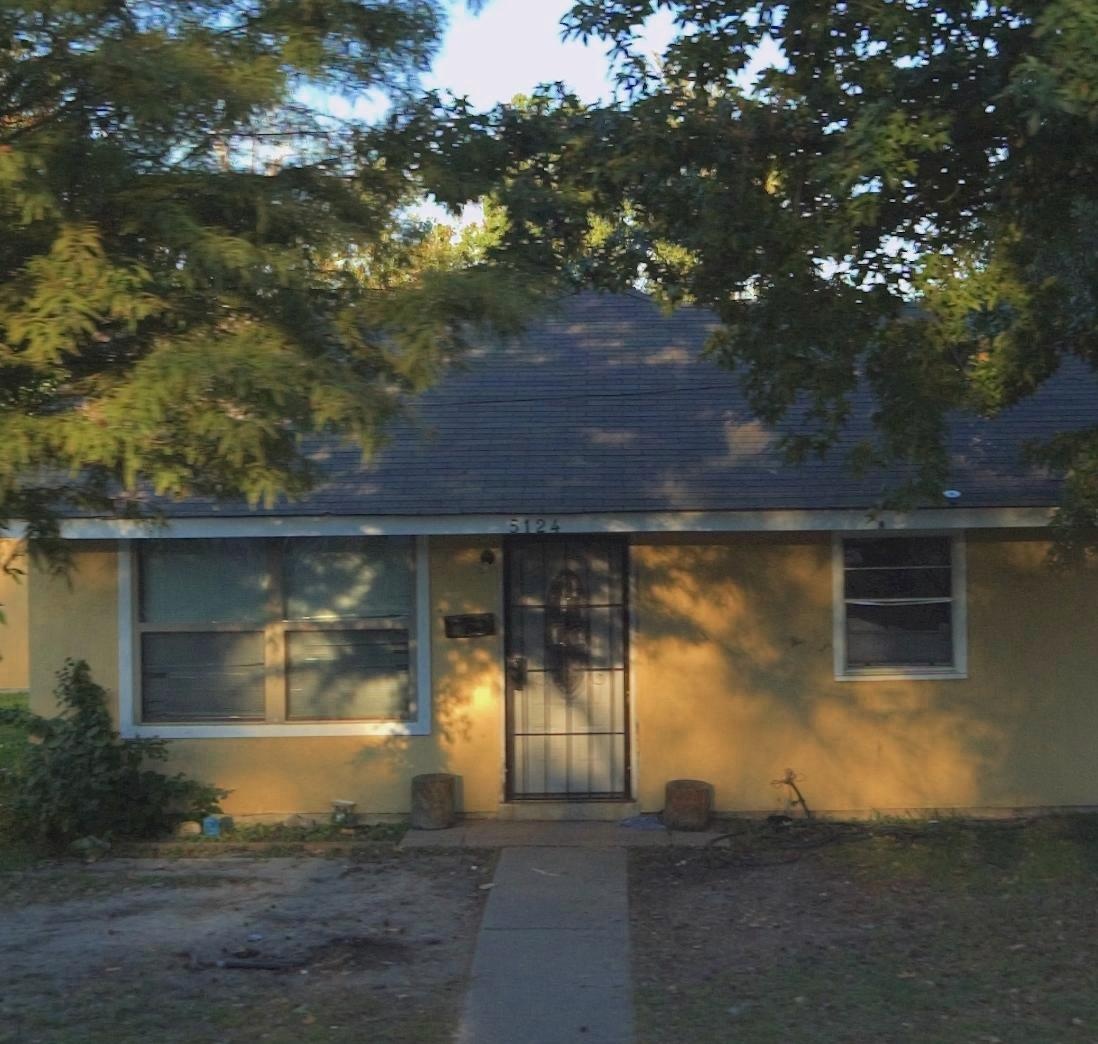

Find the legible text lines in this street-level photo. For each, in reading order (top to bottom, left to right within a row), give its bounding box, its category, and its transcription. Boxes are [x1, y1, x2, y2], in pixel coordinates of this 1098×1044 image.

[508, 517, 561, 535] StreetNumber: 5124